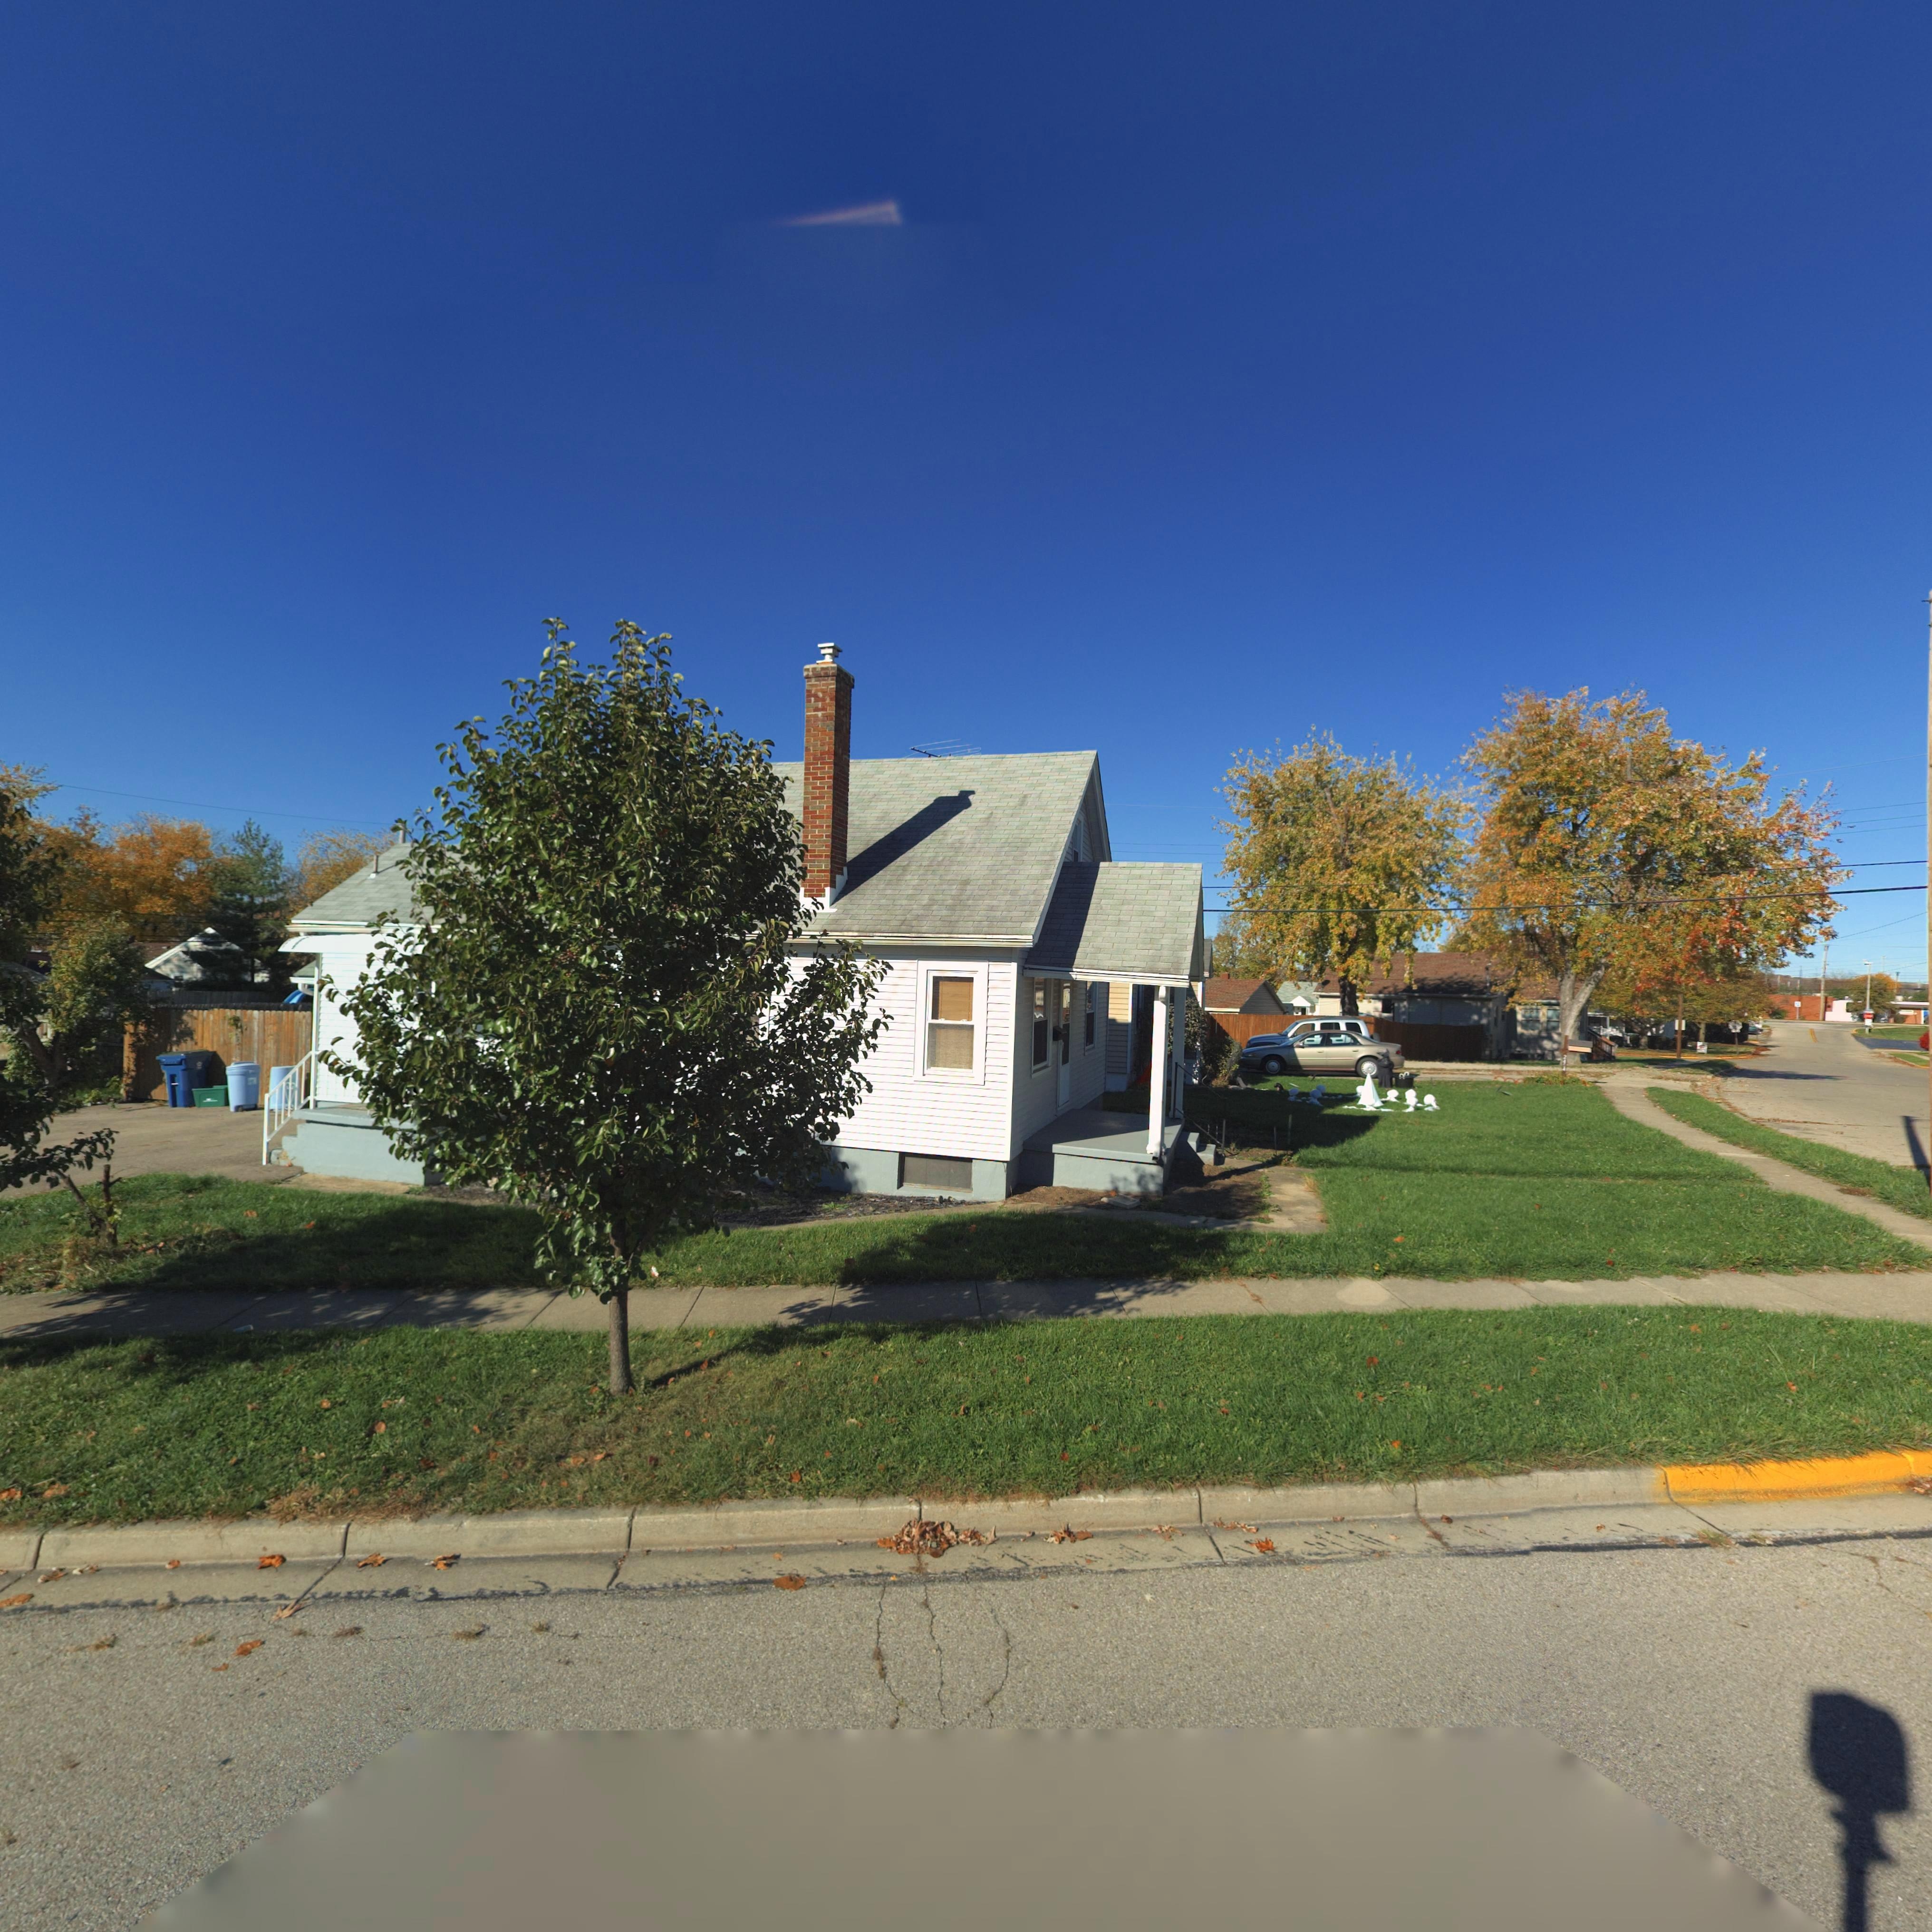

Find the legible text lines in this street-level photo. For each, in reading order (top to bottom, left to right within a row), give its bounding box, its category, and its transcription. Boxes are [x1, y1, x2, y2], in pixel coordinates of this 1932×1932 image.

[1561, 1053, 1567, 1072] StreetNumber: 2**